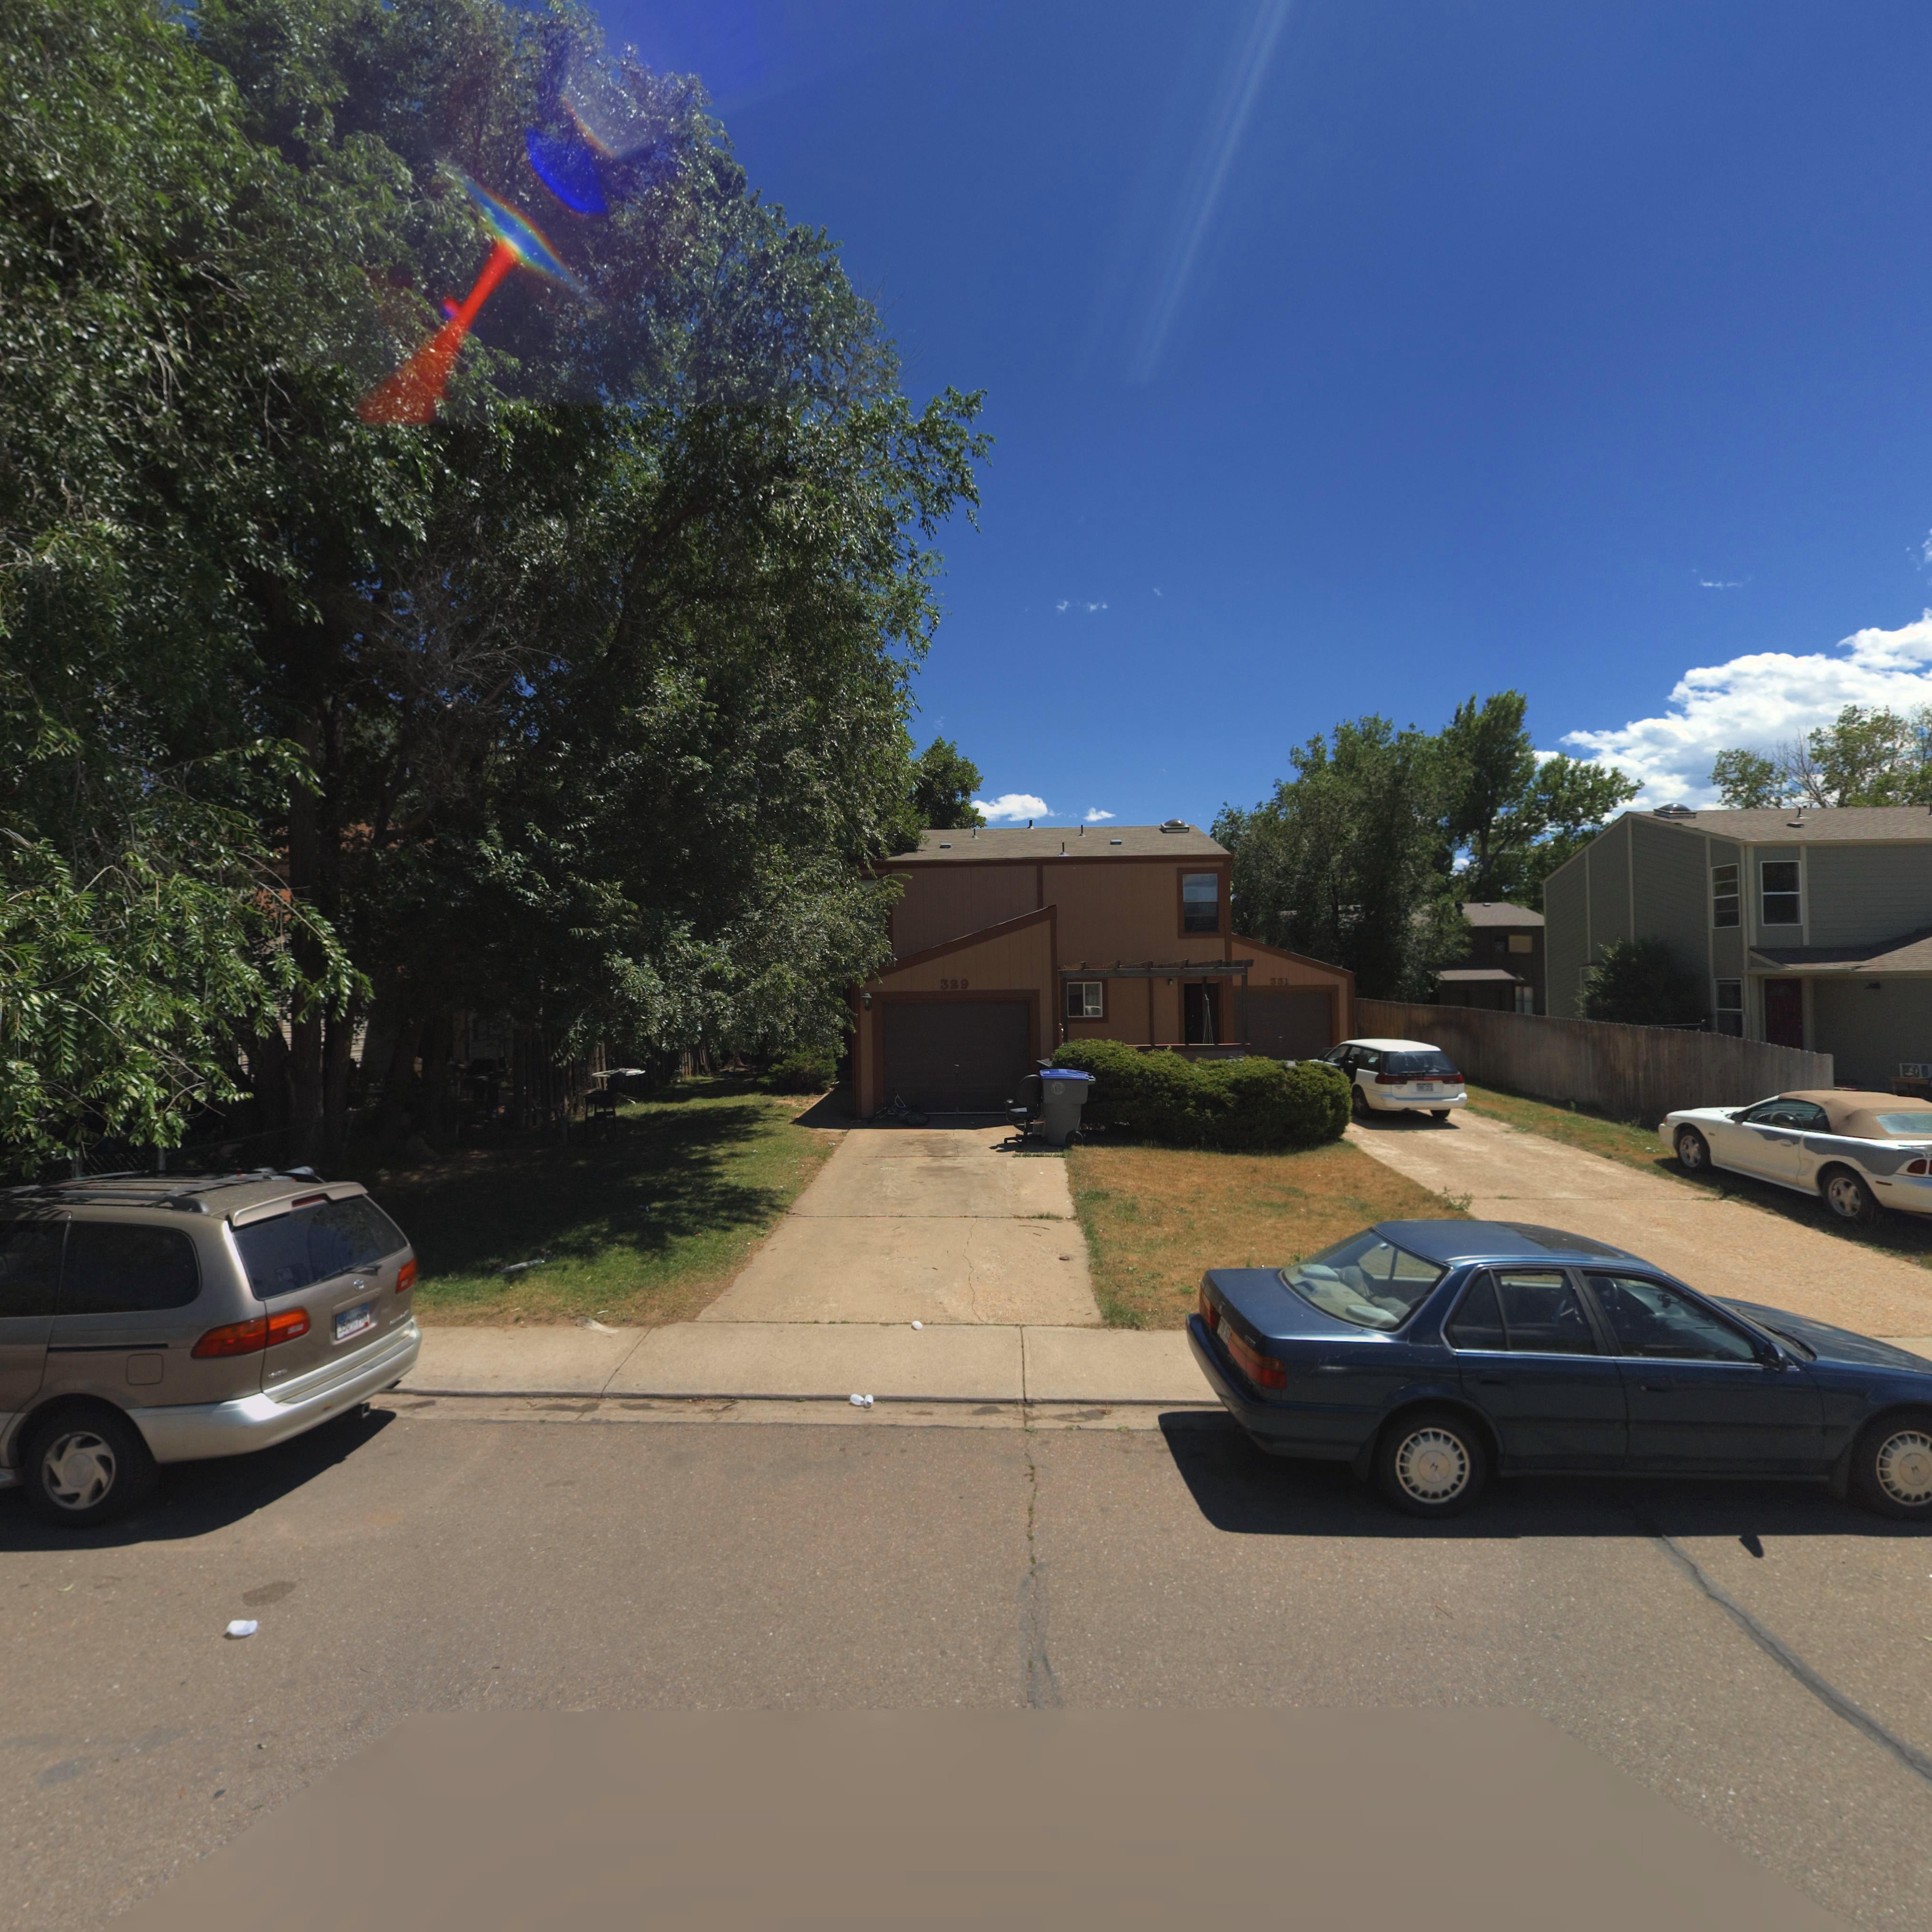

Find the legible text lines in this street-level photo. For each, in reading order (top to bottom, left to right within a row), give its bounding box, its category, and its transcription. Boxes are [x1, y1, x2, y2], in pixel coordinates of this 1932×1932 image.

[940, 978, 969, 990] StreetNumber: 329
[1269, 977, 1289, 985] StreetNumber: 331